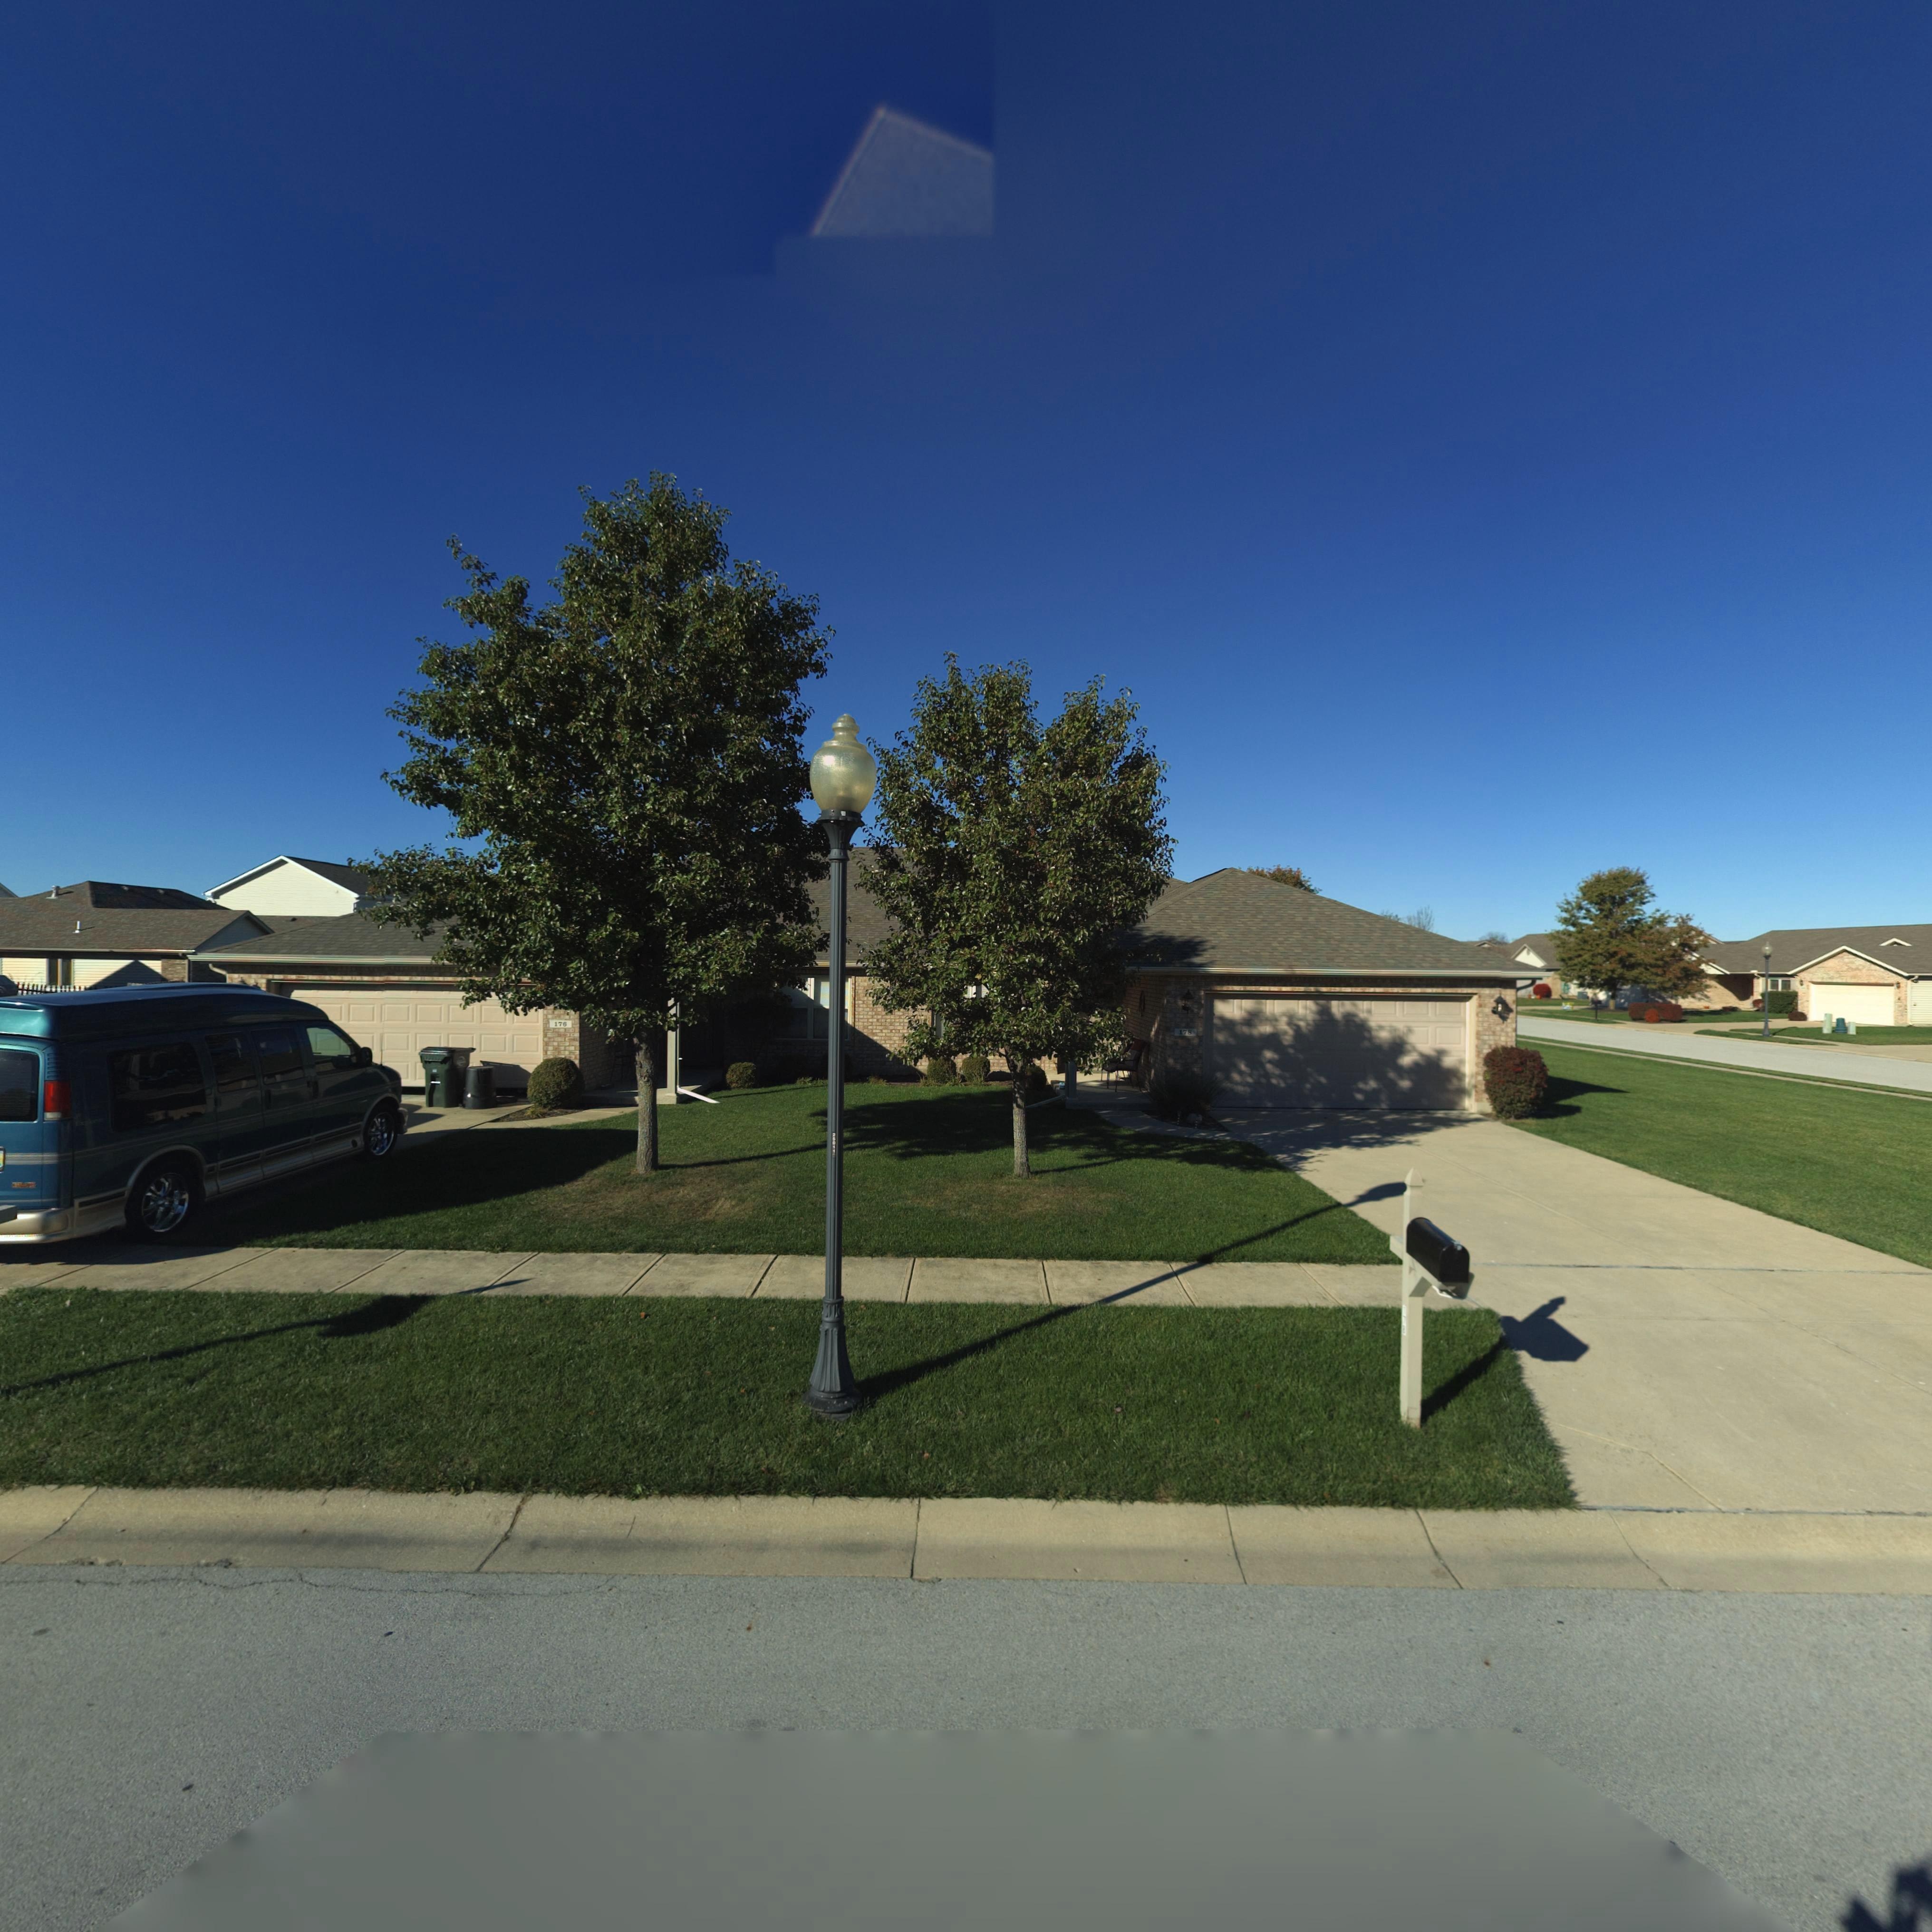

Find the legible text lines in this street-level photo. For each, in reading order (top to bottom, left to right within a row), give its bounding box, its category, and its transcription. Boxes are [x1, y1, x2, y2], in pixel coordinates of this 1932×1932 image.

[553, 1021, 568, 1027] StreetNumber: 176
[1179, 1029, 1193, 1035] StreetNumber: 178